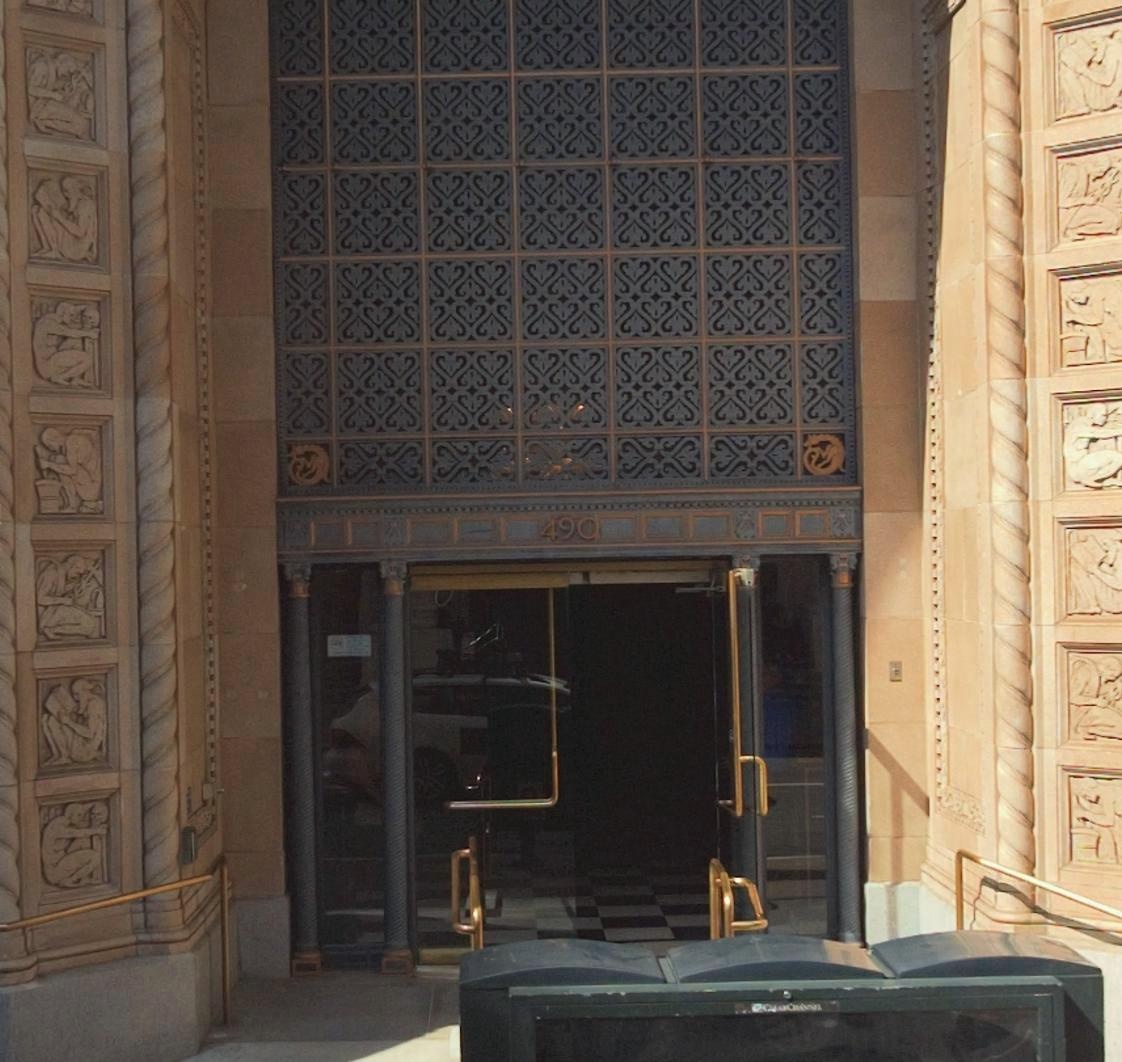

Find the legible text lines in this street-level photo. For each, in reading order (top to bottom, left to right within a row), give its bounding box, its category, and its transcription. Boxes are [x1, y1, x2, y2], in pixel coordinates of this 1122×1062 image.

[540, 517, 601, 542] StreetNumber: 490